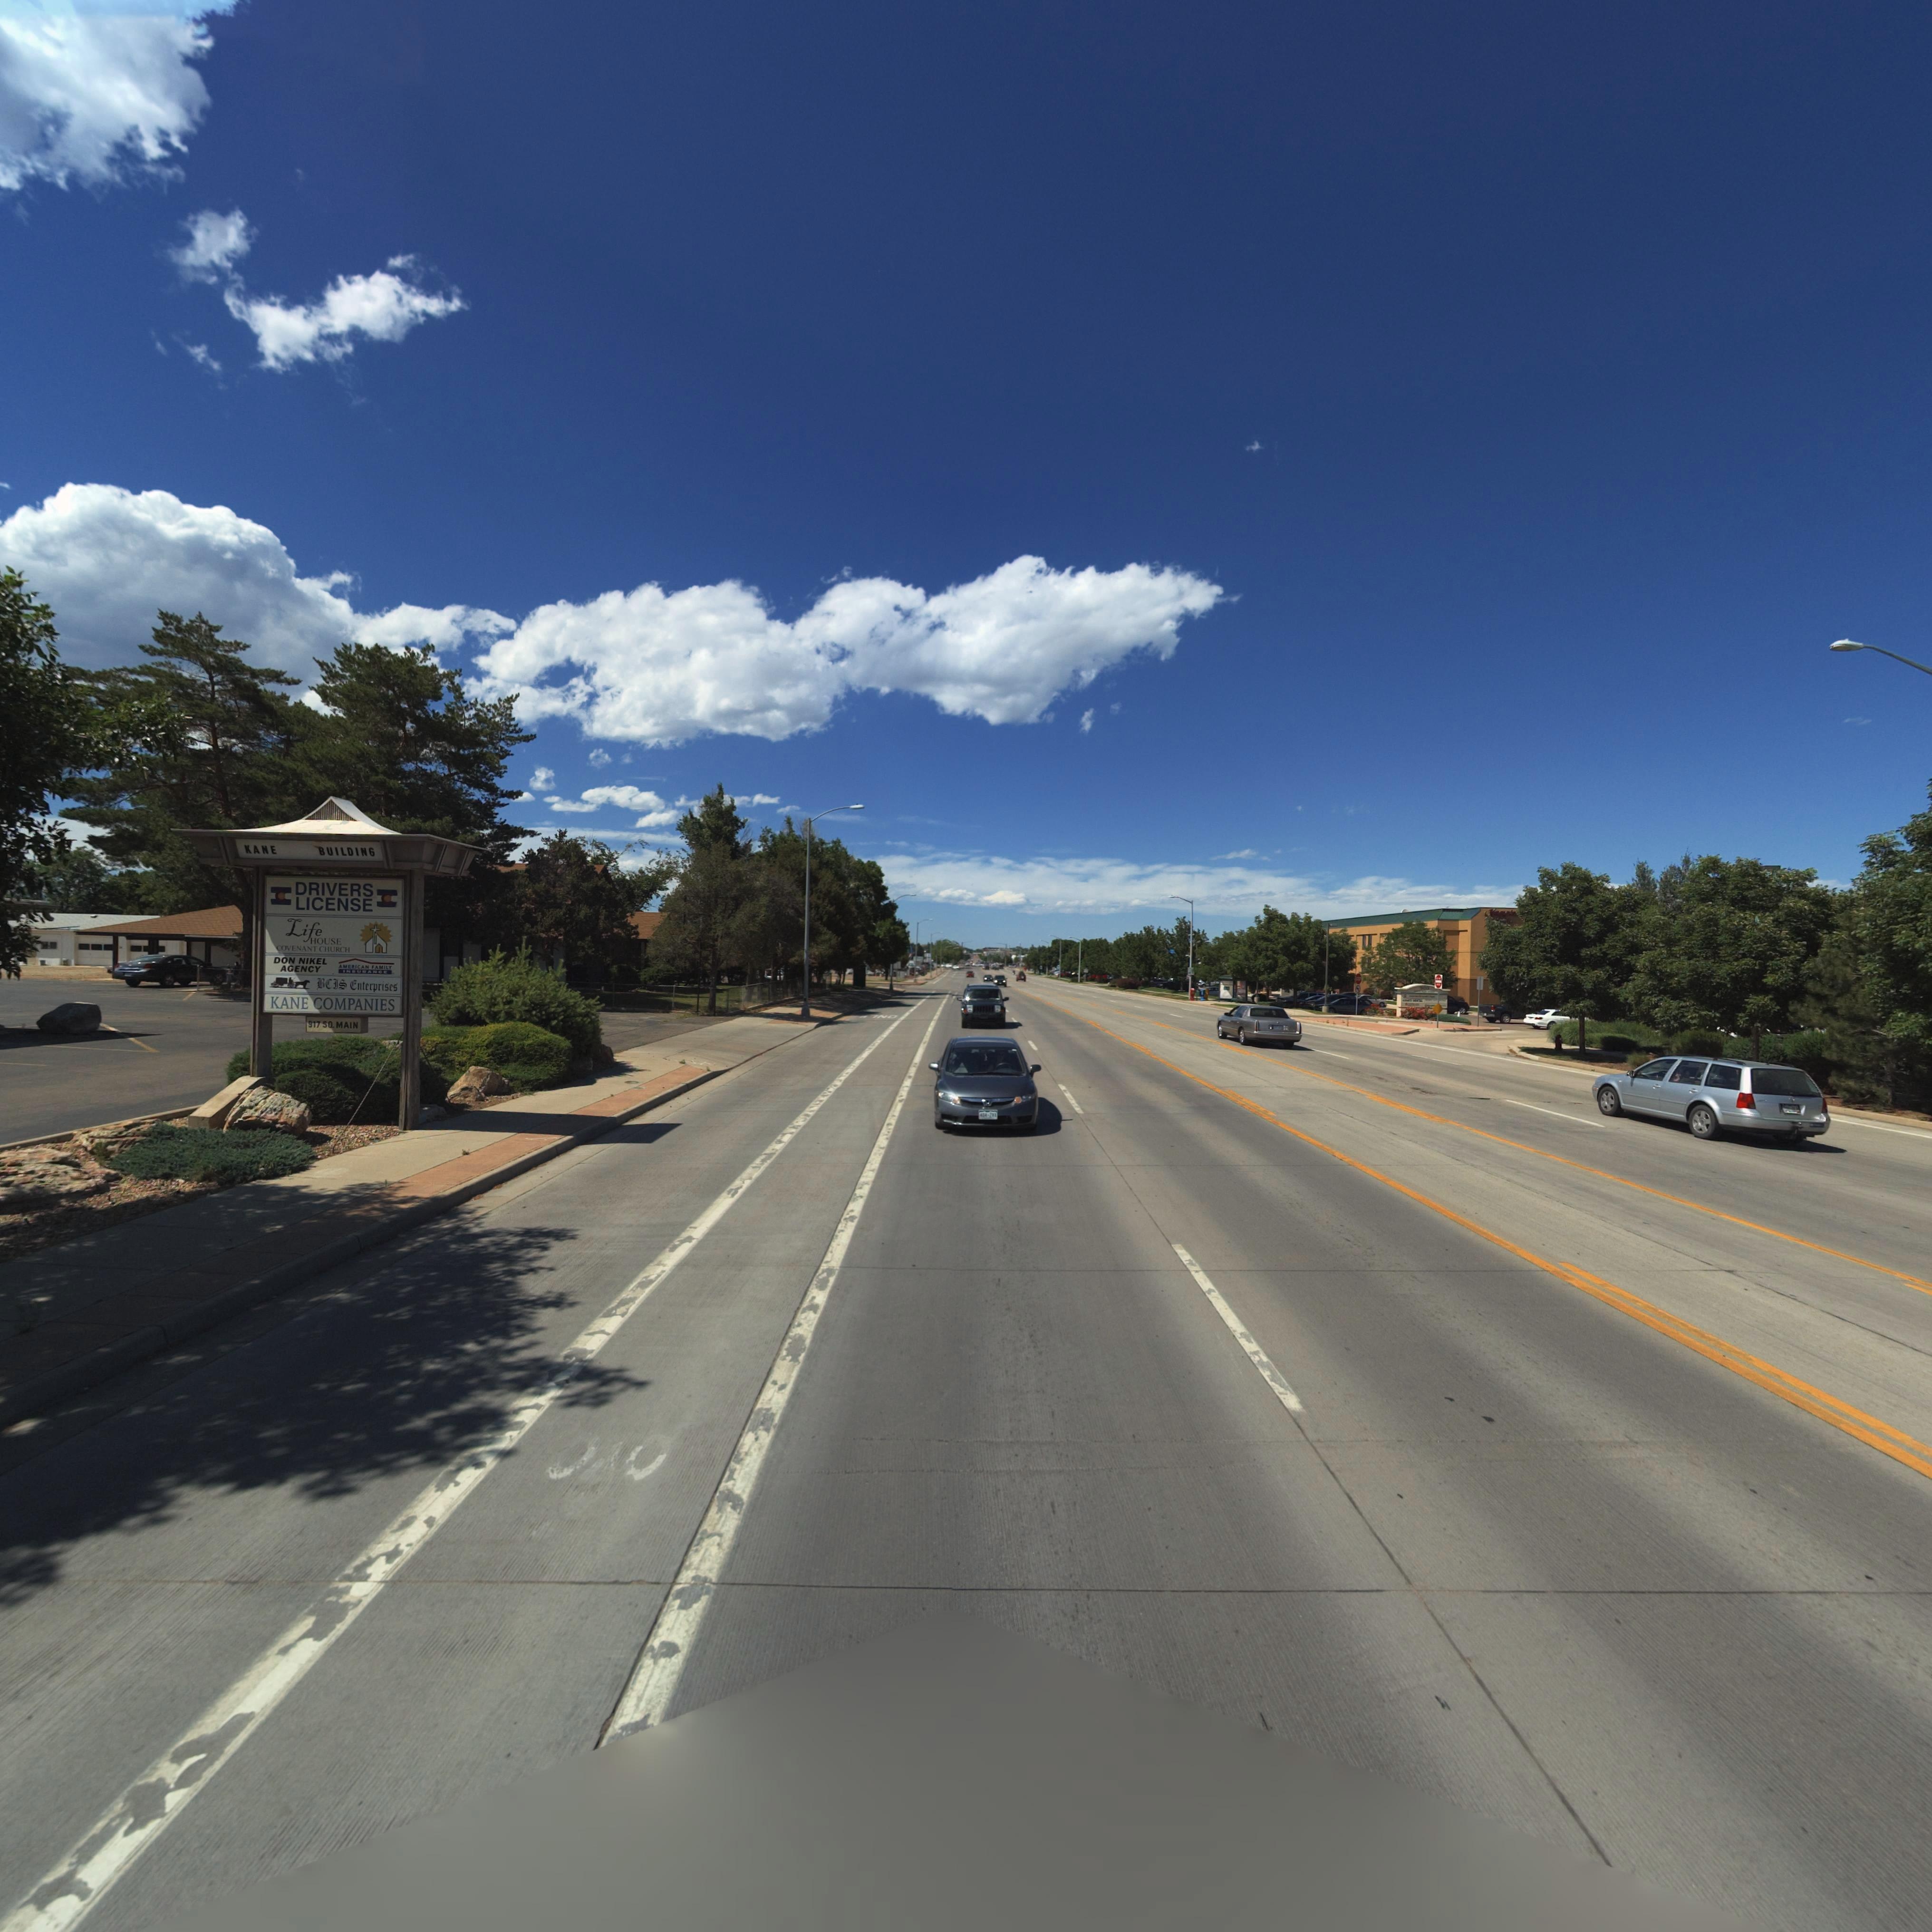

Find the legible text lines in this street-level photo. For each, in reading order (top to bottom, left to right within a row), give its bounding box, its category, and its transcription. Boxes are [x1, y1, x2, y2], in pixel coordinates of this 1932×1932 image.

[295, 881, 373, 898] BusinessName: DRIVERS
[296, 896, 373, 912] BusinessName: LICENSE
[285, 918, 322, 942] BusinessName: Life
[309, 937, 342, 945] BusinessName: HOUSE
[276, 945, 350, 952] BusinessName: COVENANT CHURCH
[338, 964, 392, 969] BusinessName: AMERICAN FAMILY
[343, 969, 387, 974] BusinessName: INSURANCE
[316, 977, 398, 992] BusinessName: BCIS Enterprises
[1420, 985, 1429, 990] StreetNumber: *00
[270, 996, 395, 1011] BusinessName: KANE COMPANIES
[308, 1020, 321, 1028] StreetNumber: 917
[322, 1021, 358, 1028] StreetName: SO* MAIN